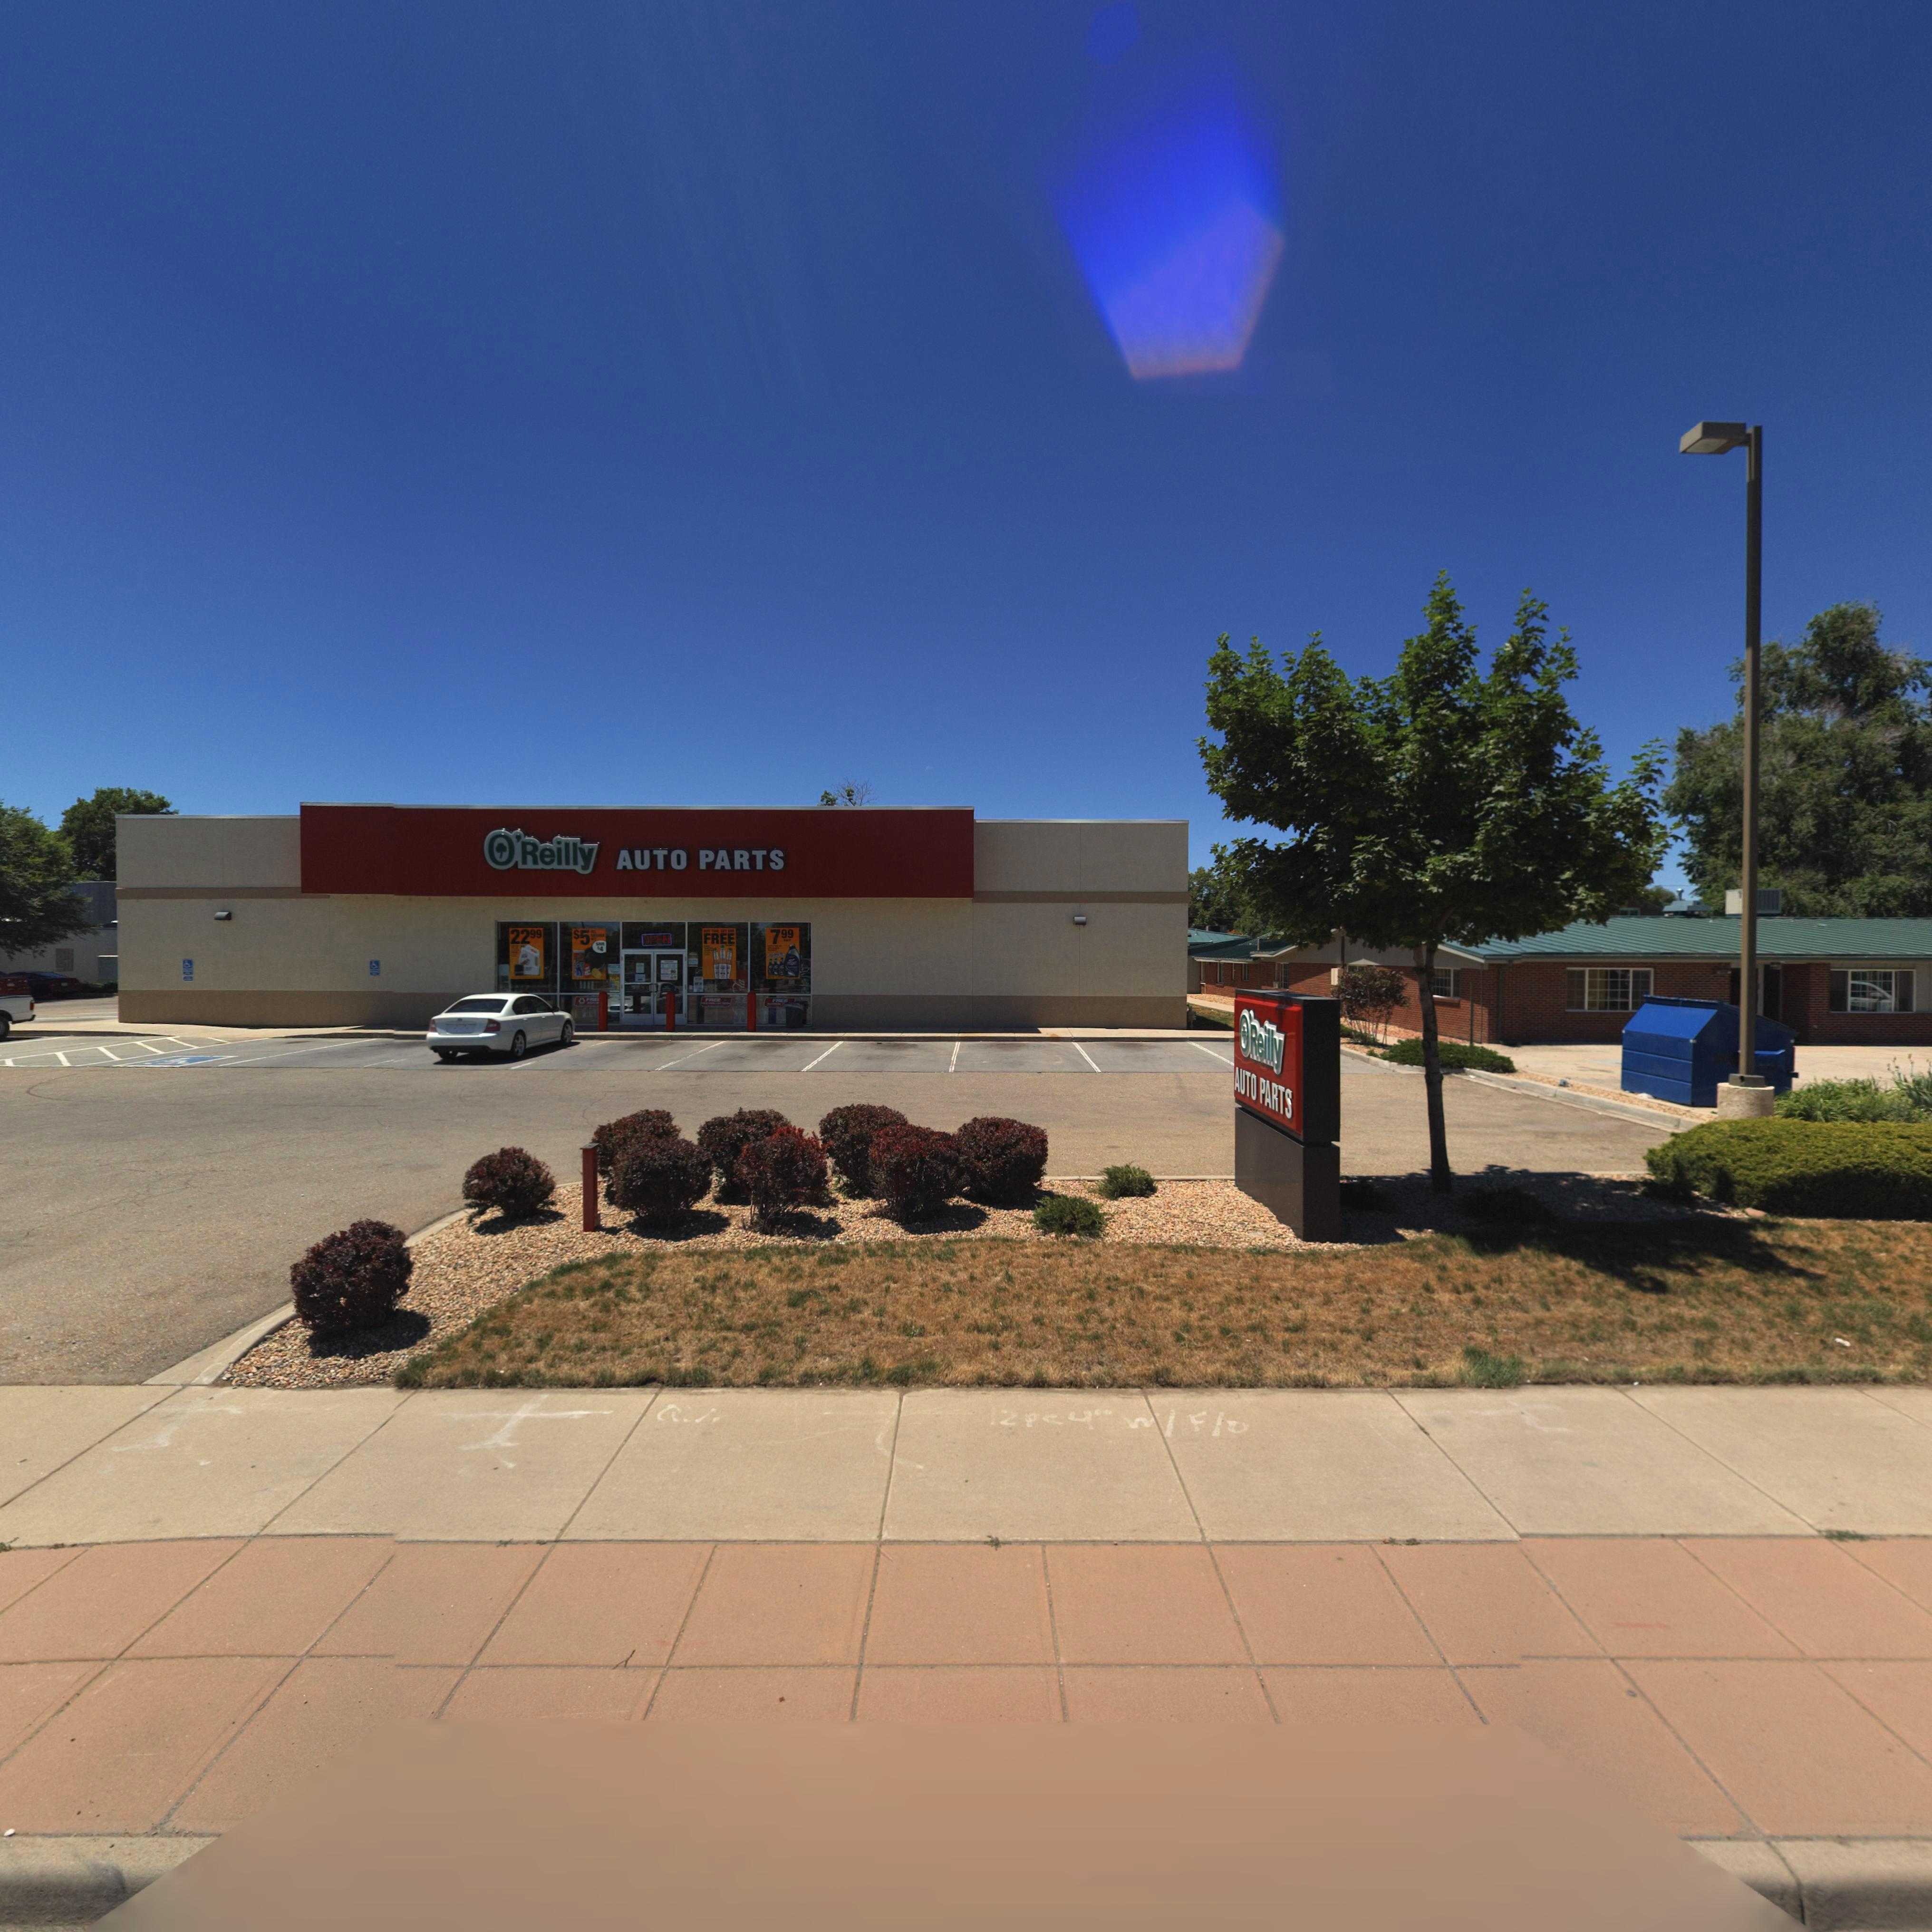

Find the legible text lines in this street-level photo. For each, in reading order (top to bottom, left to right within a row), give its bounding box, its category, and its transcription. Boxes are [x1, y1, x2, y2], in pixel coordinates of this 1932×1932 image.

[482, 826, 601, 876] BusinessName: O'Reilly
[613, 847, 790, 871] BusinessName: AUTO PARTS
[1238, 1007, 1286, 1076] BusinessName: O'Reilly
[1233, 1065, 1294, 1120] BusinessName: AUTO PARTS